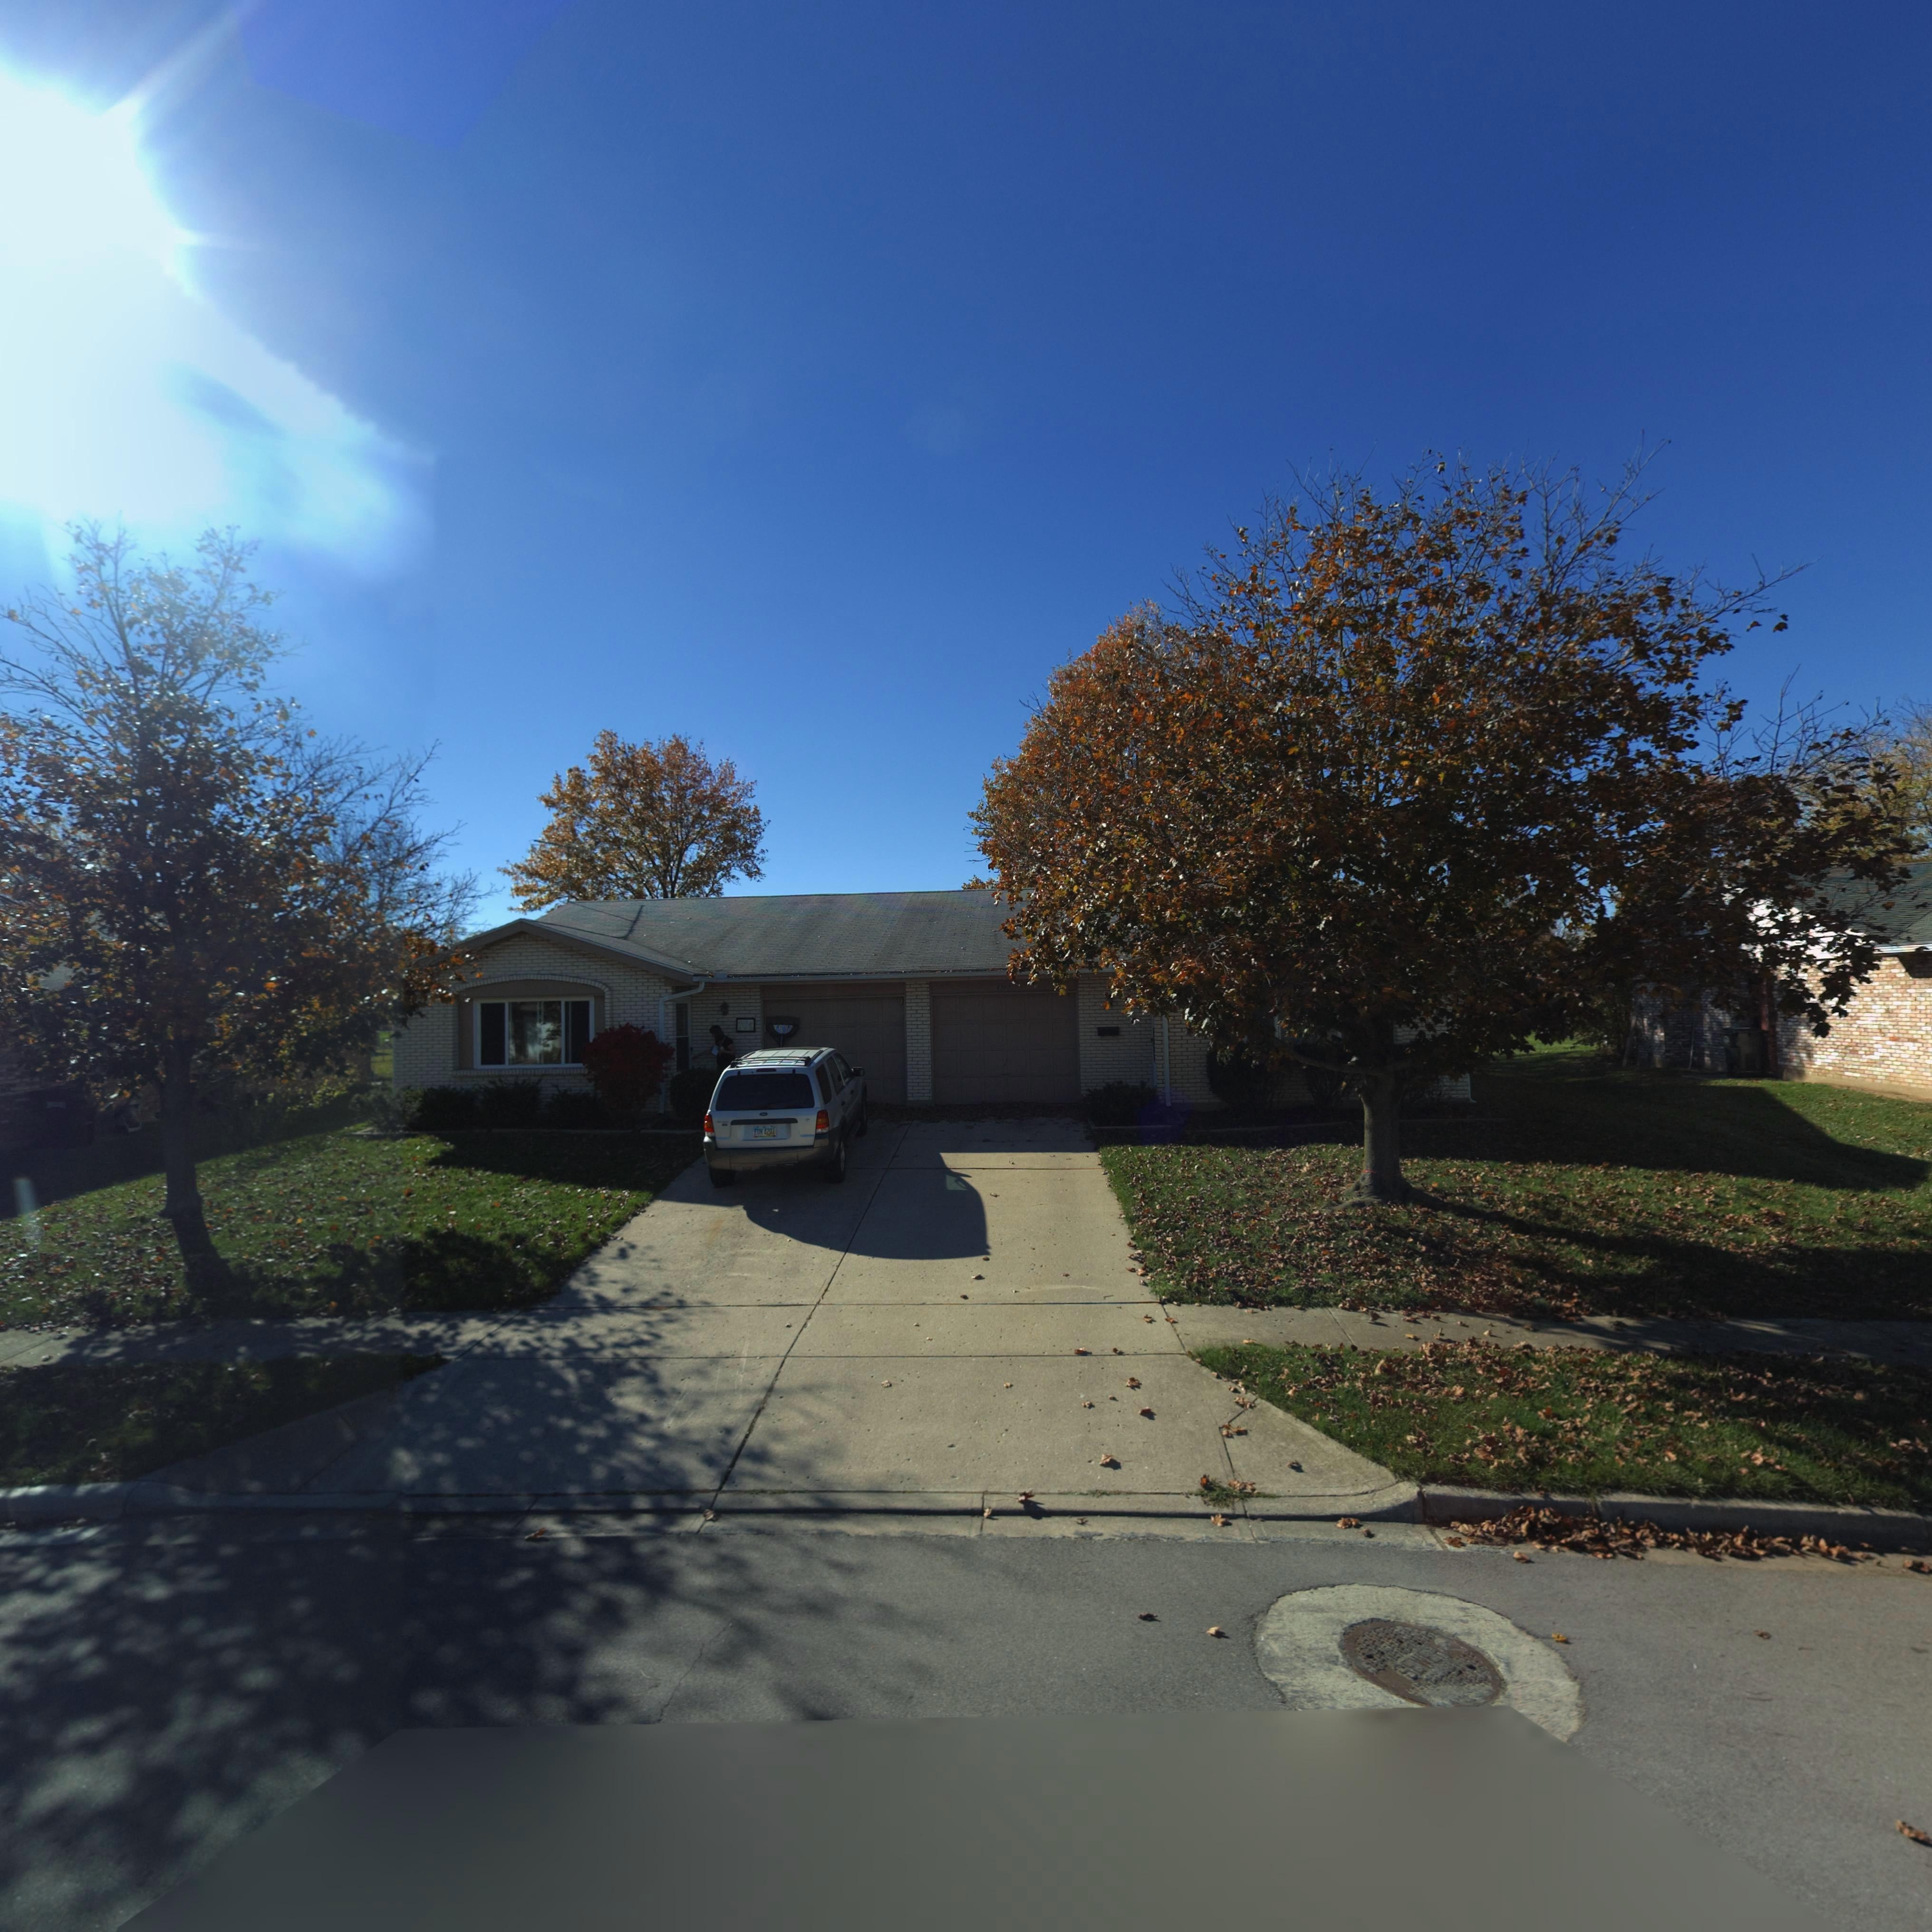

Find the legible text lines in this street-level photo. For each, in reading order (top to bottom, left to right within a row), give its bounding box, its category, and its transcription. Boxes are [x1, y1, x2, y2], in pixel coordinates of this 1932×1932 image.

[995, 985, 1010, 990] StreetNumber: 4360